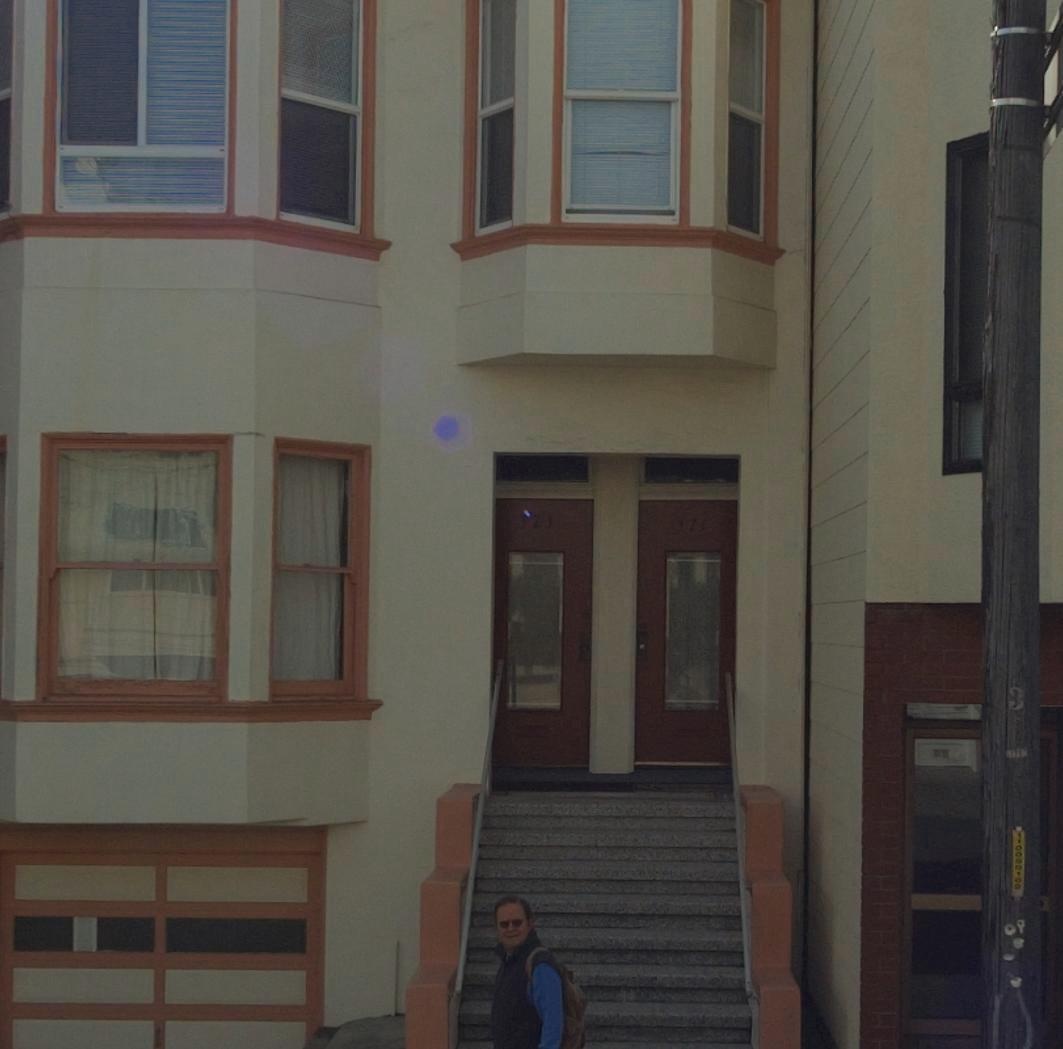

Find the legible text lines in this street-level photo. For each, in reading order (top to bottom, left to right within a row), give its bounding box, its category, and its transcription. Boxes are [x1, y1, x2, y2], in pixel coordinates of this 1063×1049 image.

[518, 512, 555, 530] StreetNumber: 523
[675, 517, 707, 533] StreetNumber: *71
[1007, 685, 1025, 712] None: 3
[1013, 830, 1023, 891] None: 11005016*